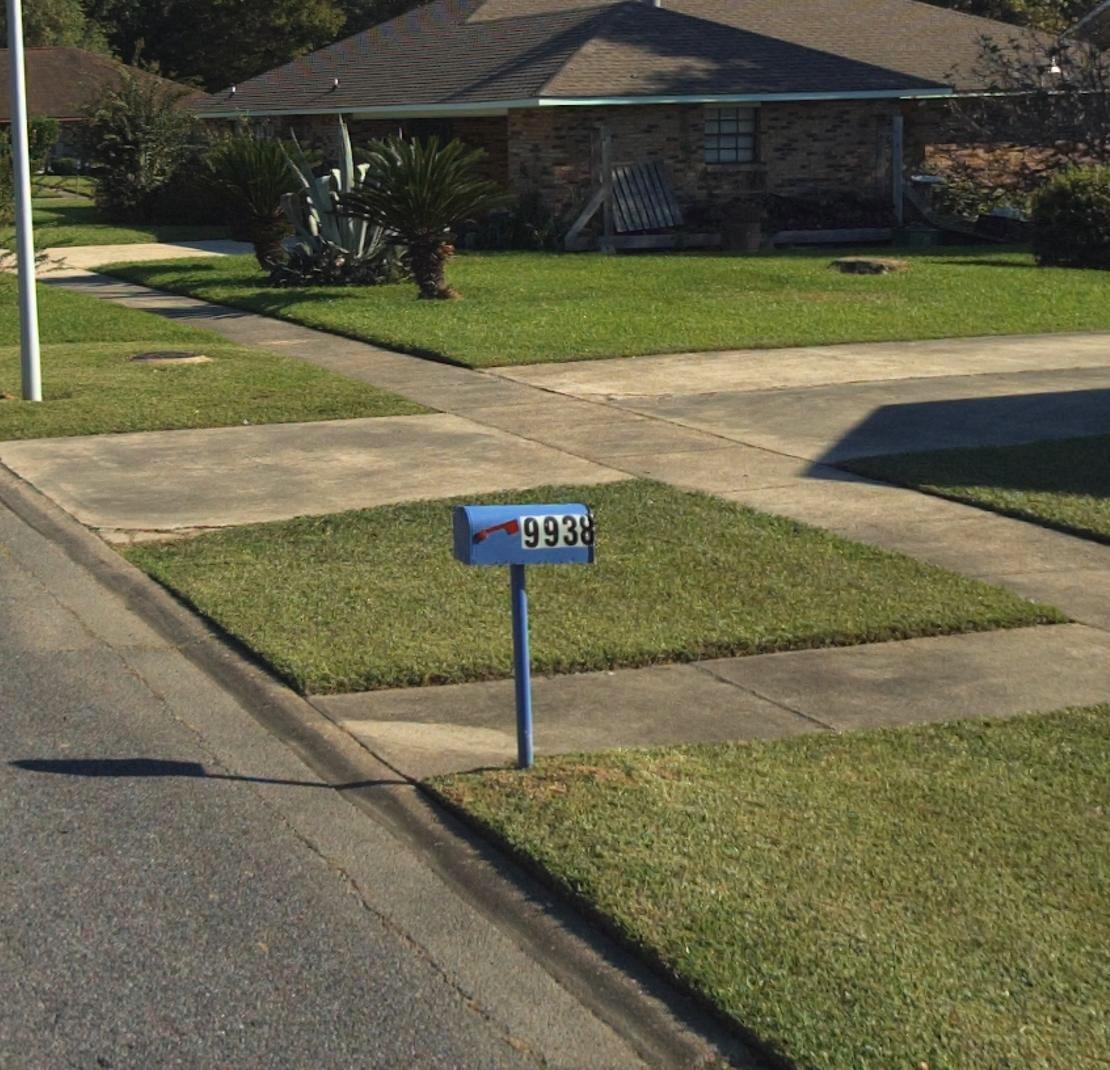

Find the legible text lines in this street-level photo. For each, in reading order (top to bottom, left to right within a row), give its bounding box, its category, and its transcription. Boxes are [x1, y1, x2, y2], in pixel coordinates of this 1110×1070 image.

[522, 514, 594, 549] StreetNumber: 9938